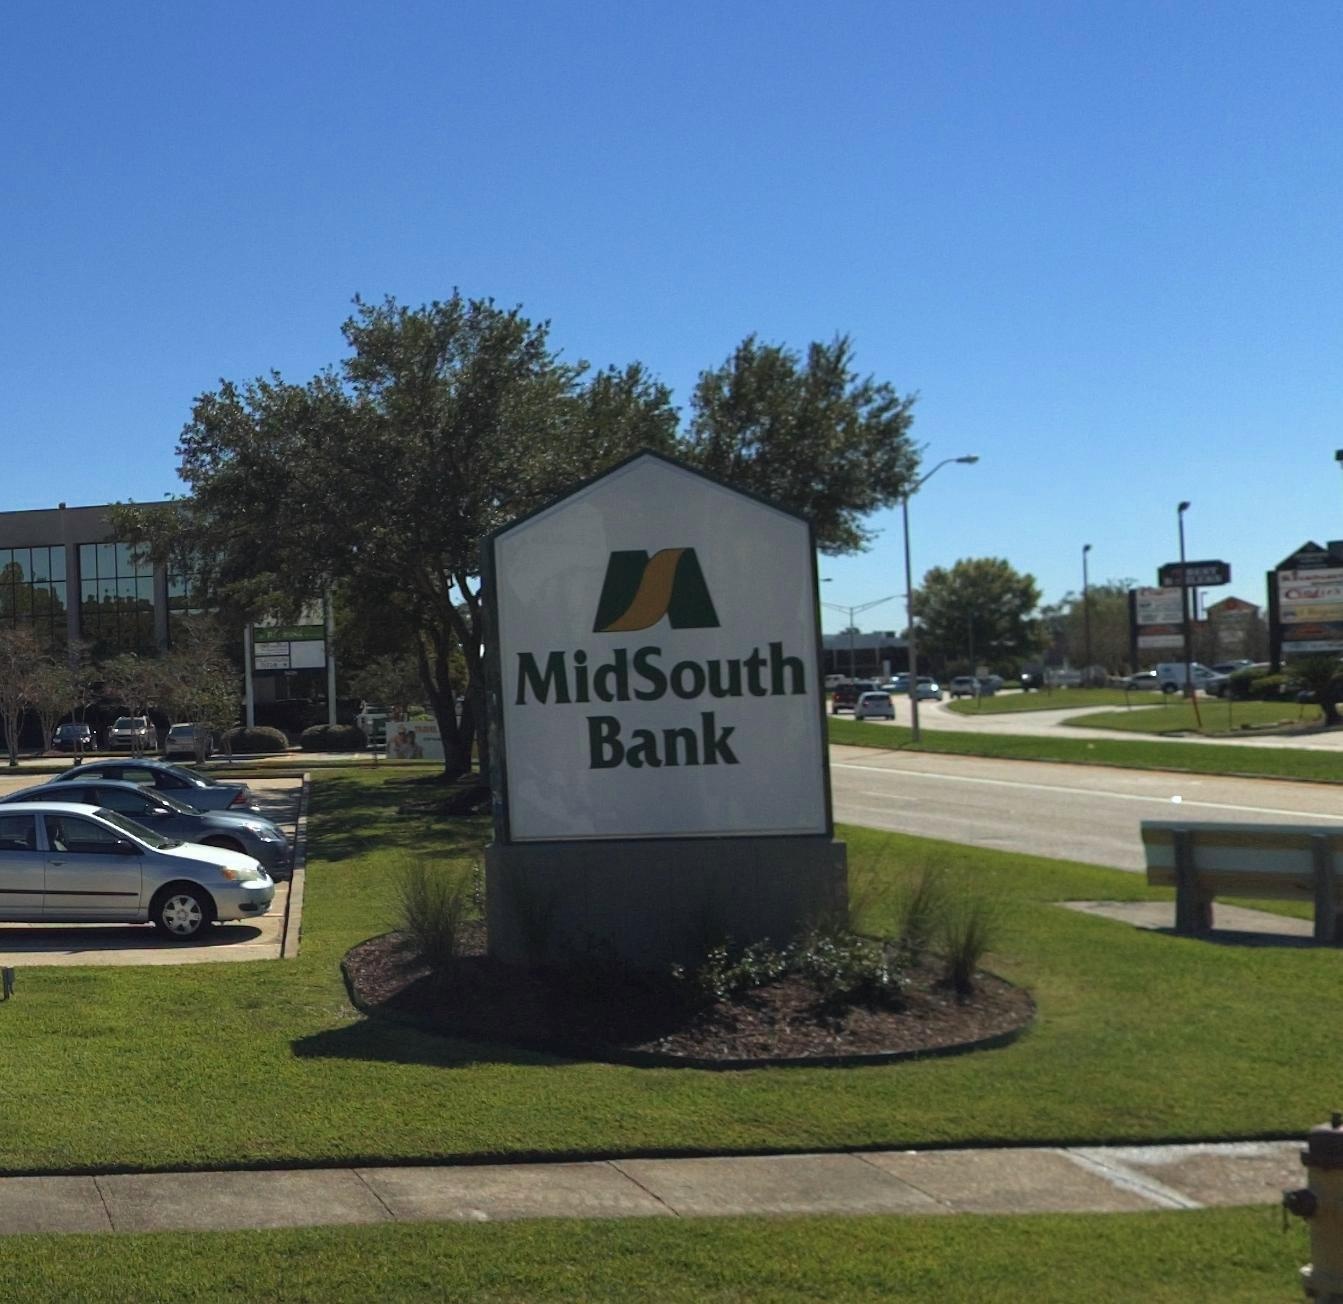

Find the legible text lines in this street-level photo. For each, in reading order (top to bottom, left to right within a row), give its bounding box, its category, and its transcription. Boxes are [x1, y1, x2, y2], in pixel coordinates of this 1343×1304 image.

[586, 544, 726, 636] None: M
[510, 637, 811, 710] BusinessName: MidSouth
[582, 708, 747, 773] BusinessName: Bank